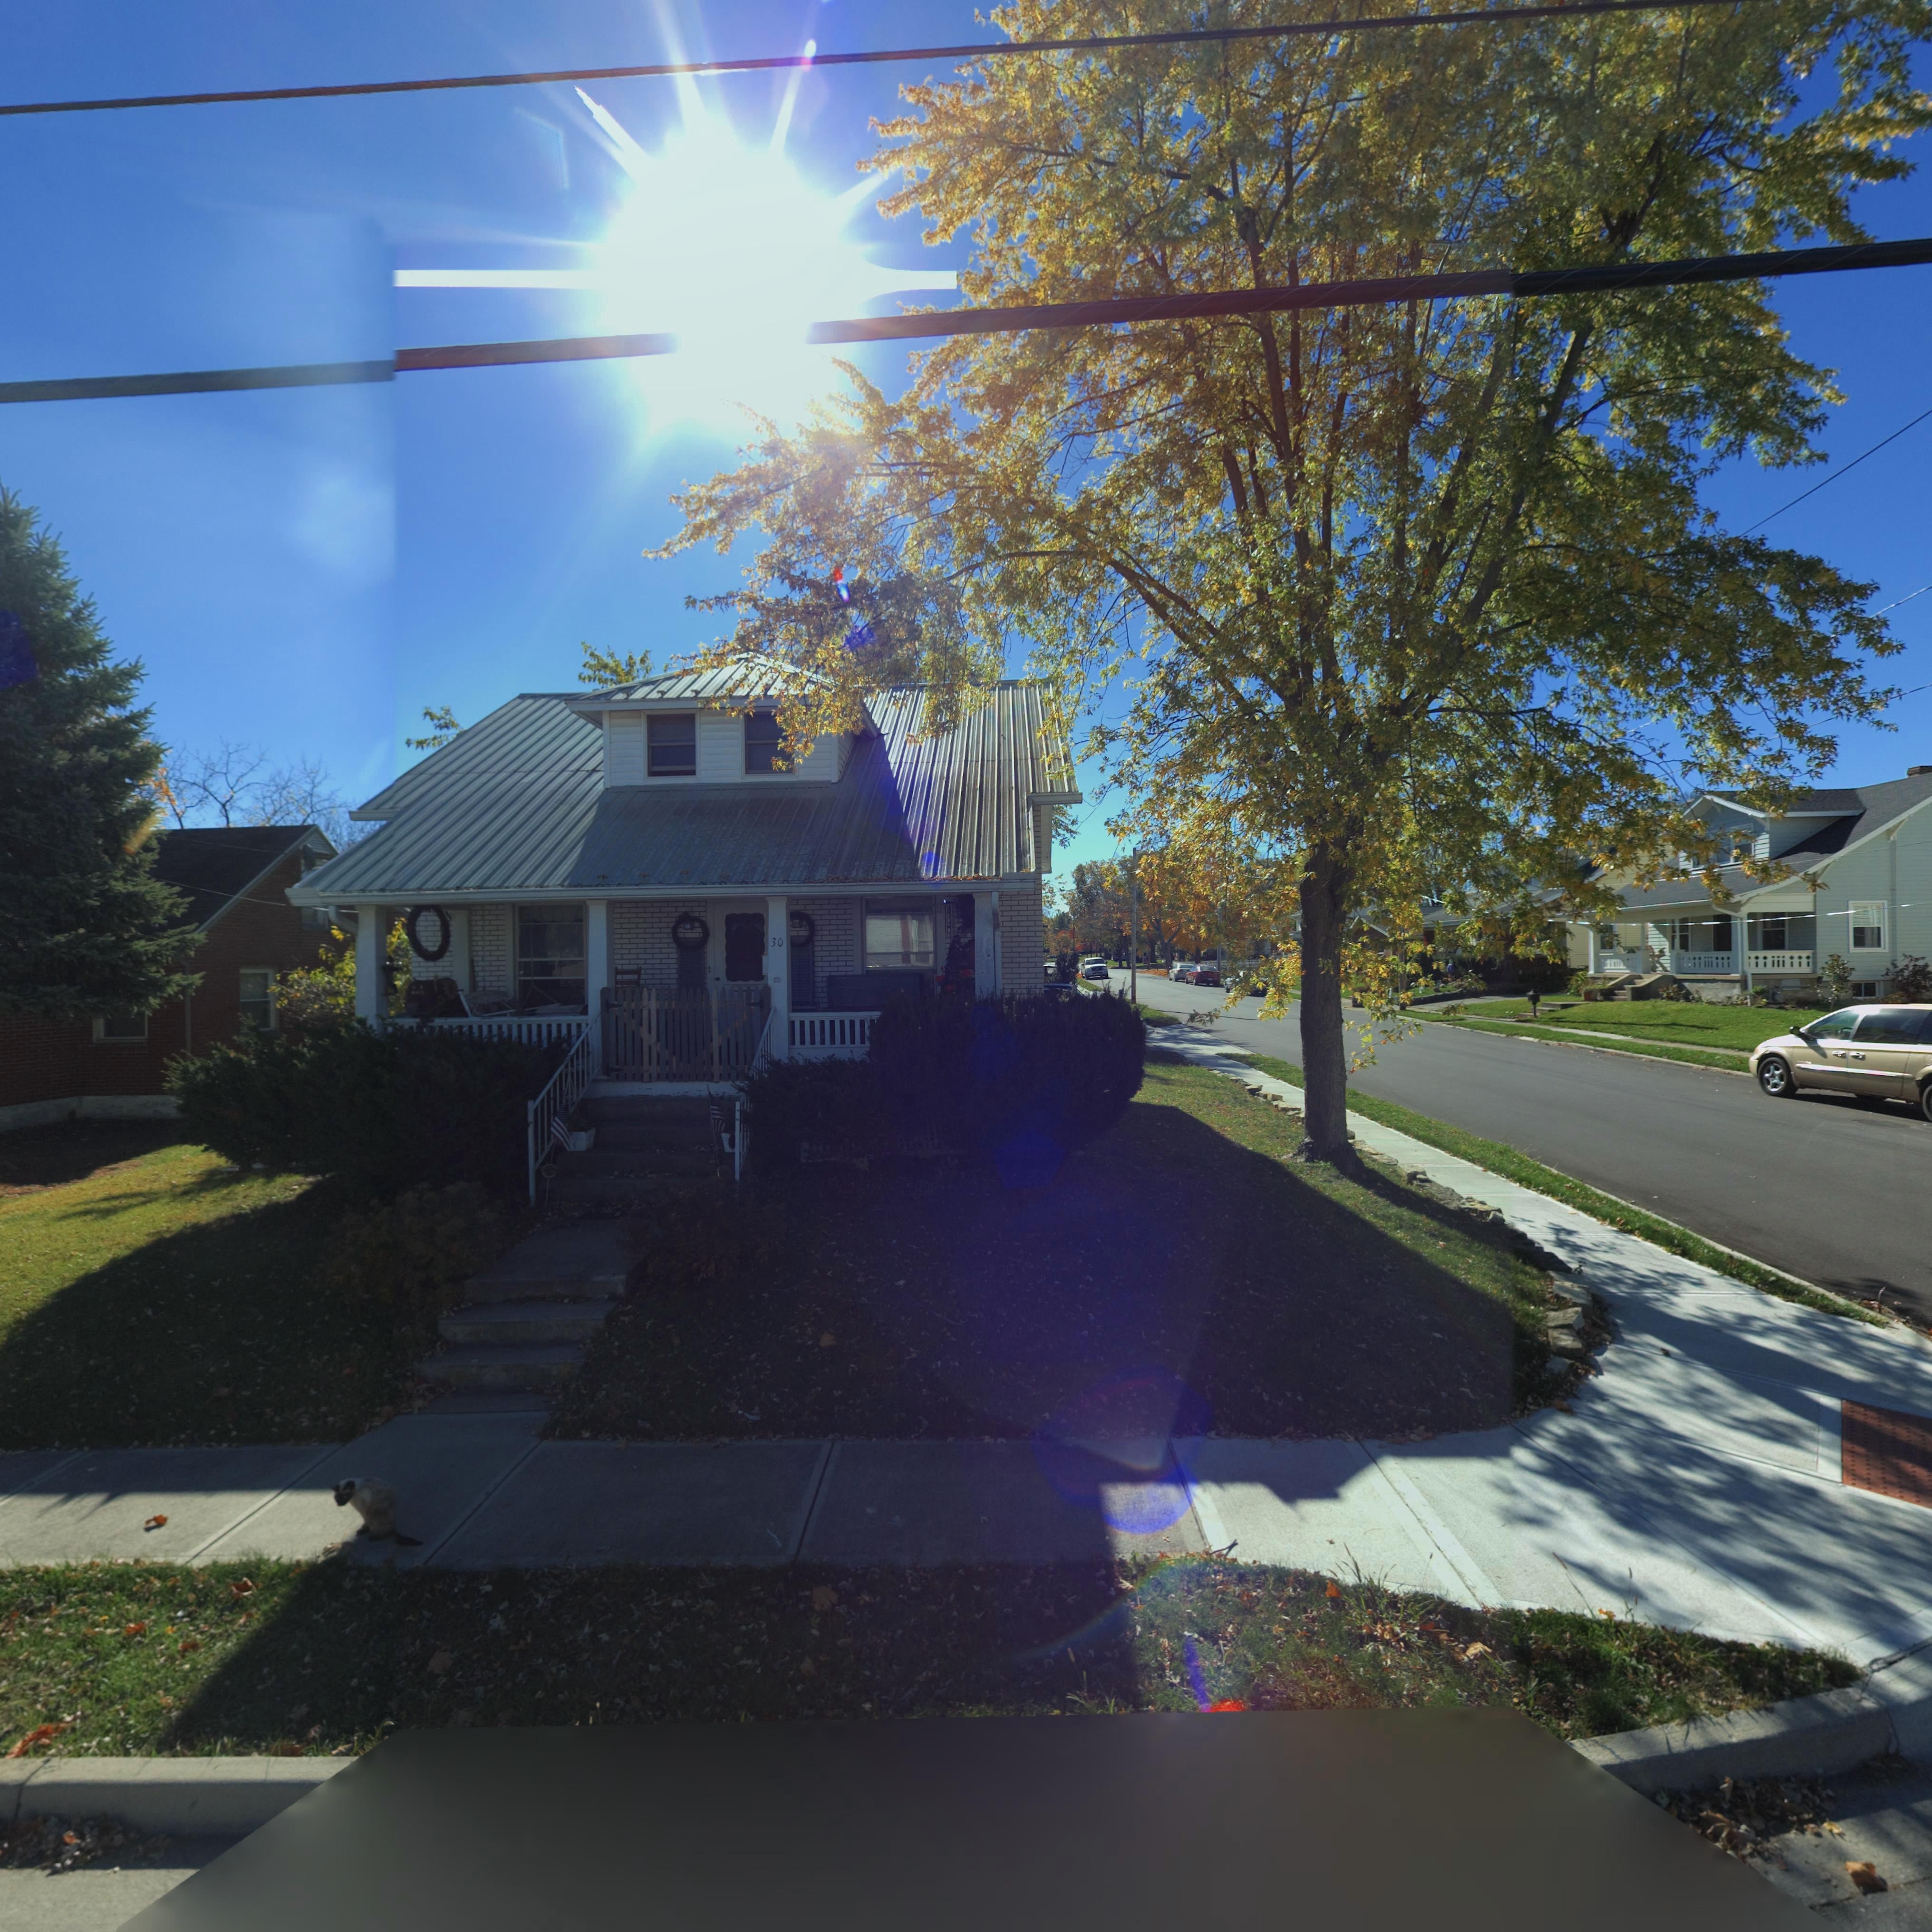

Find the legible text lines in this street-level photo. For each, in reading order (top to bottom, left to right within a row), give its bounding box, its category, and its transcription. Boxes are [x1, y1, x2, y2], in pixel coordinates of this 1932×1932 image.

[770, 937, 783, 947] StreetNumber: 30